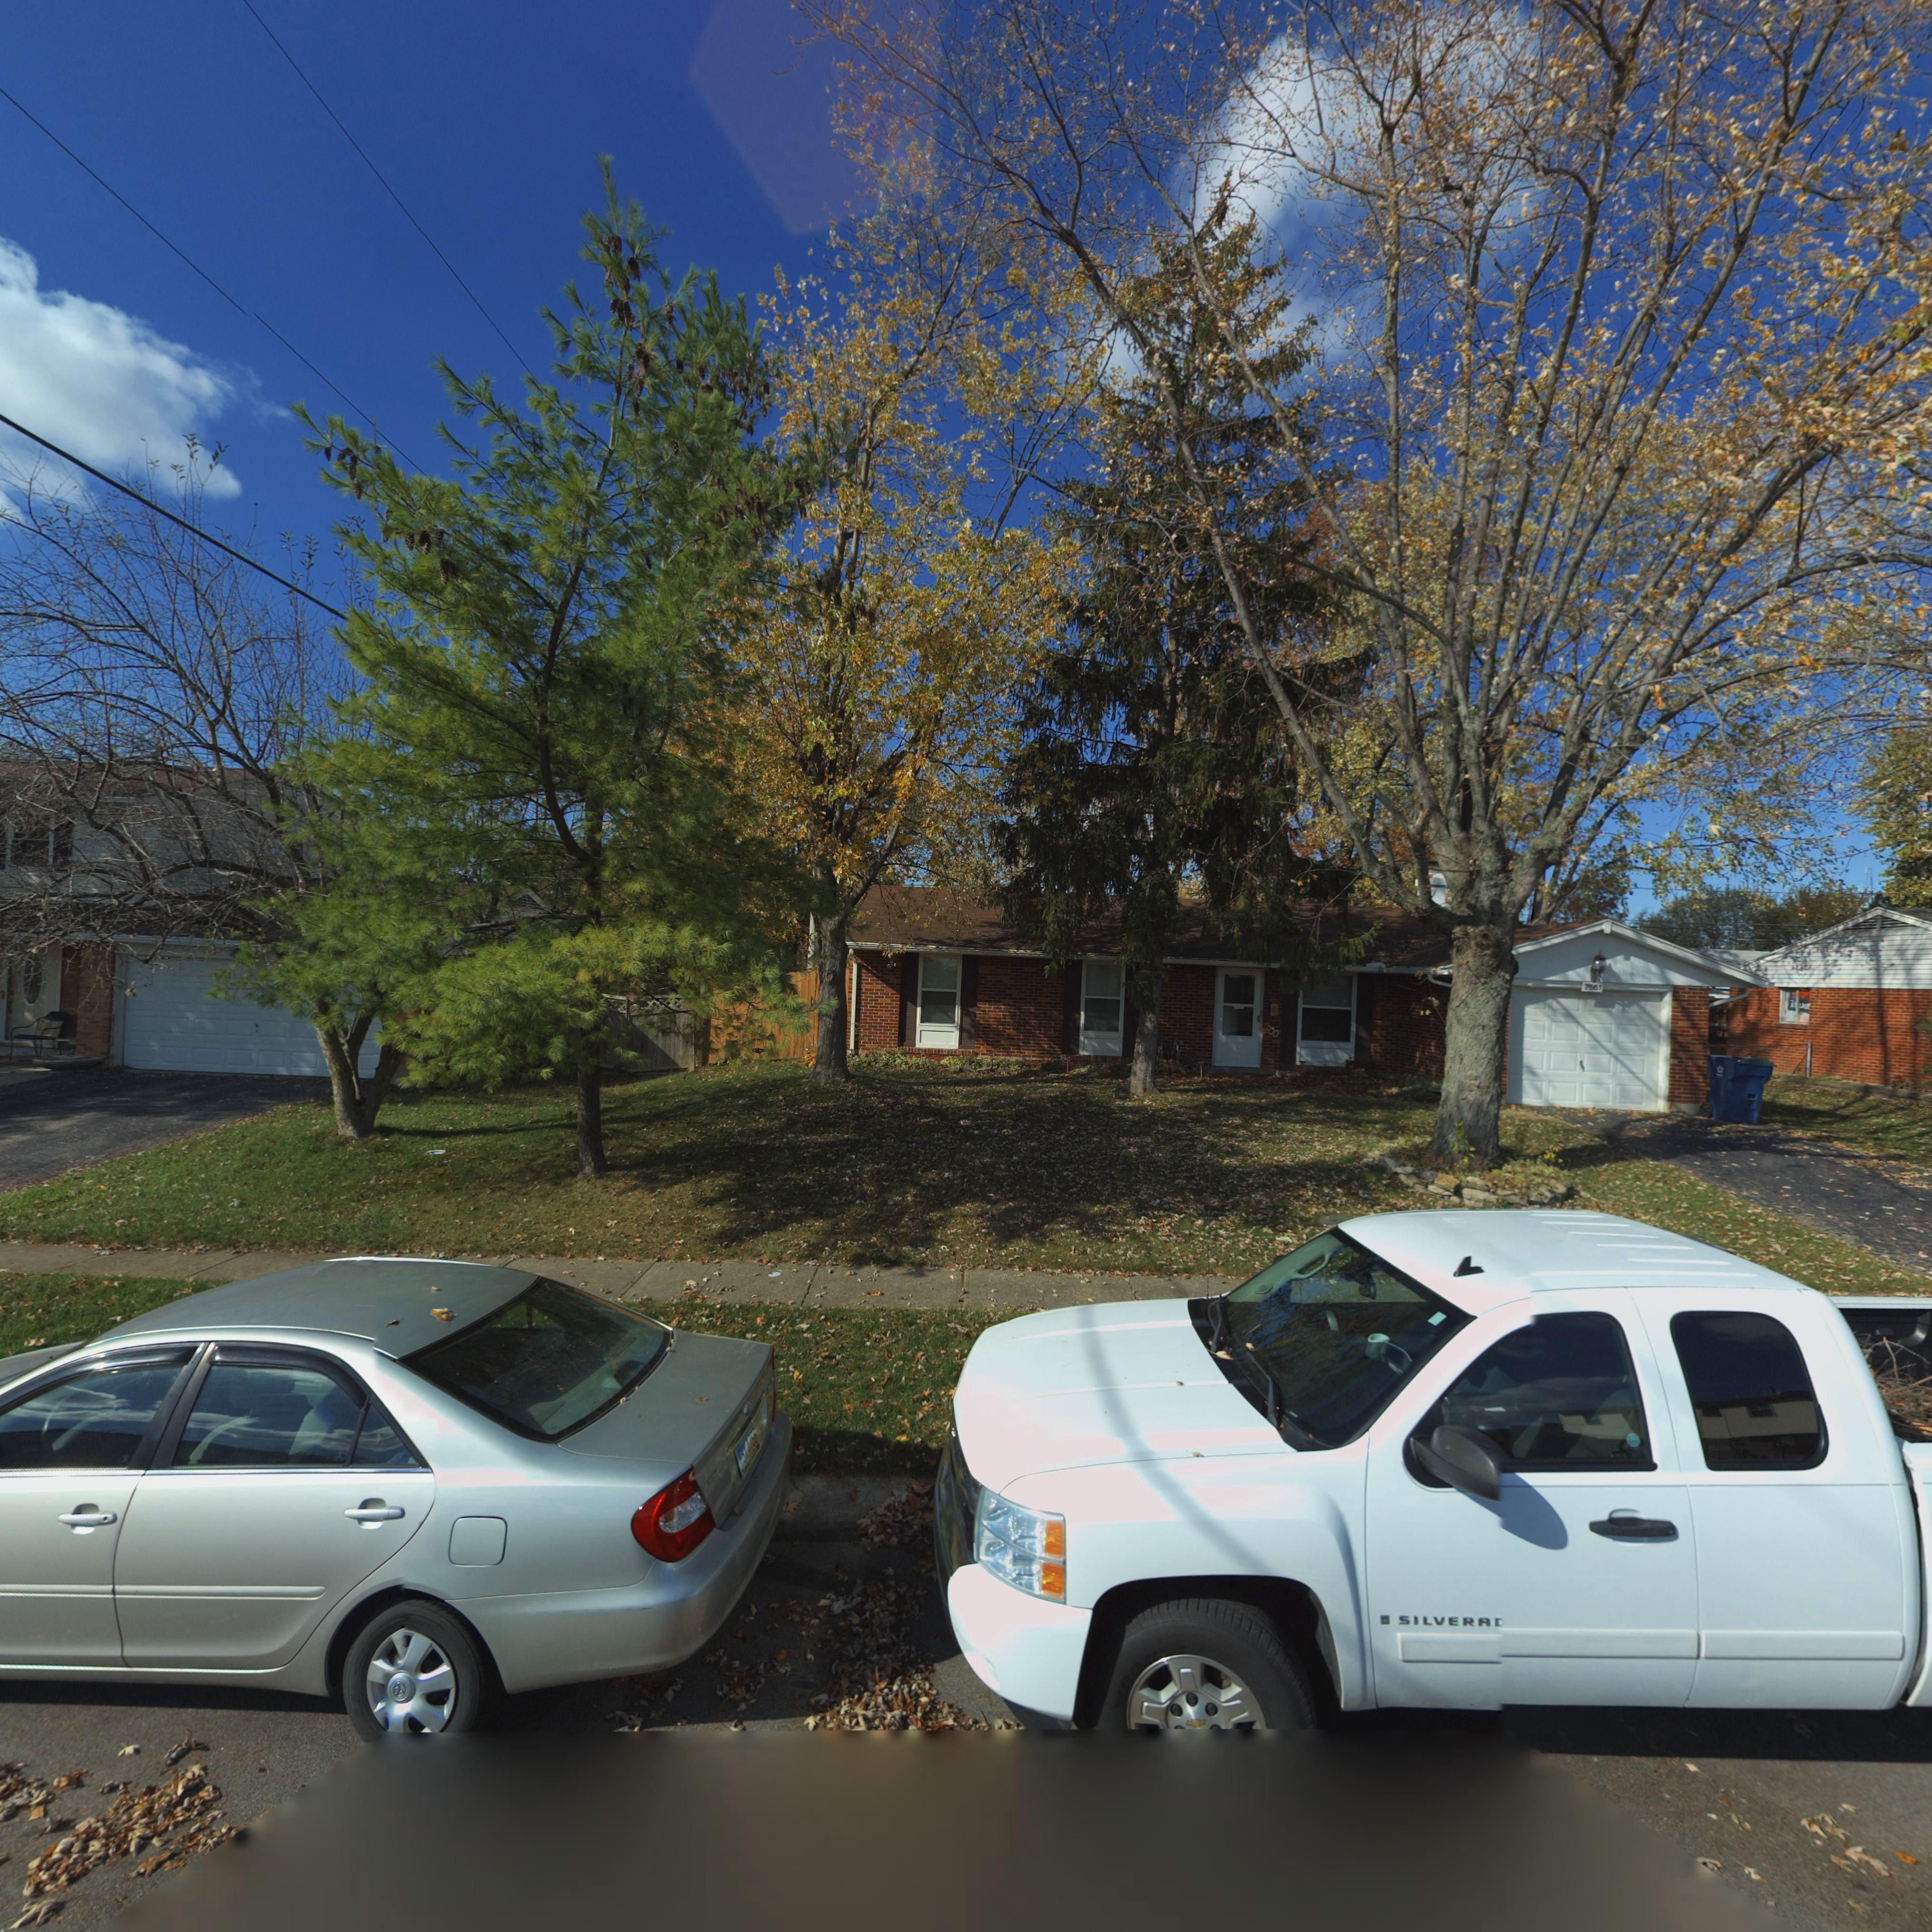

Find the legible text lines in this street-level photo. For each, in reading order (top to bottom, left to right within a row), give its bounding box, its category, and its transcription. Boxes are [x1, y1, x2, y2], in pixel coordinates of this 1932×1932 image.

[1584, 982, 1603, 992] StreetNumber: 7661